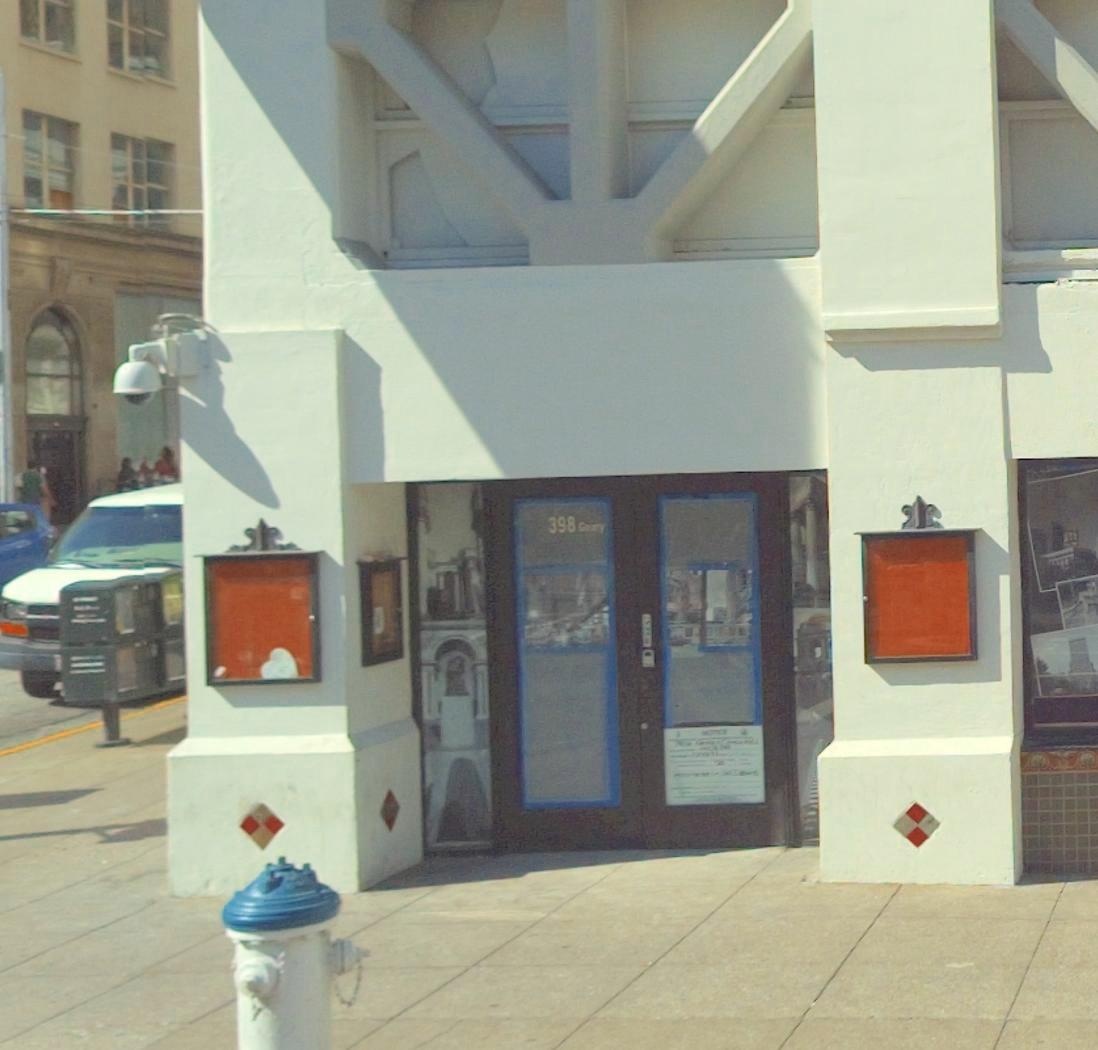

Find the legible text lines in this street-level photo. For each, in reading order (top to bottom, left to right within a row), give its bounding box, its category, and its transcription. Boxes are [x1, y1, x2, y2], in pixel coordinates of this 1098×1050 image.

[546, 514, 578, 535] StreetNumber: 398
[577, 521, 607, 535] StreetName: G**y